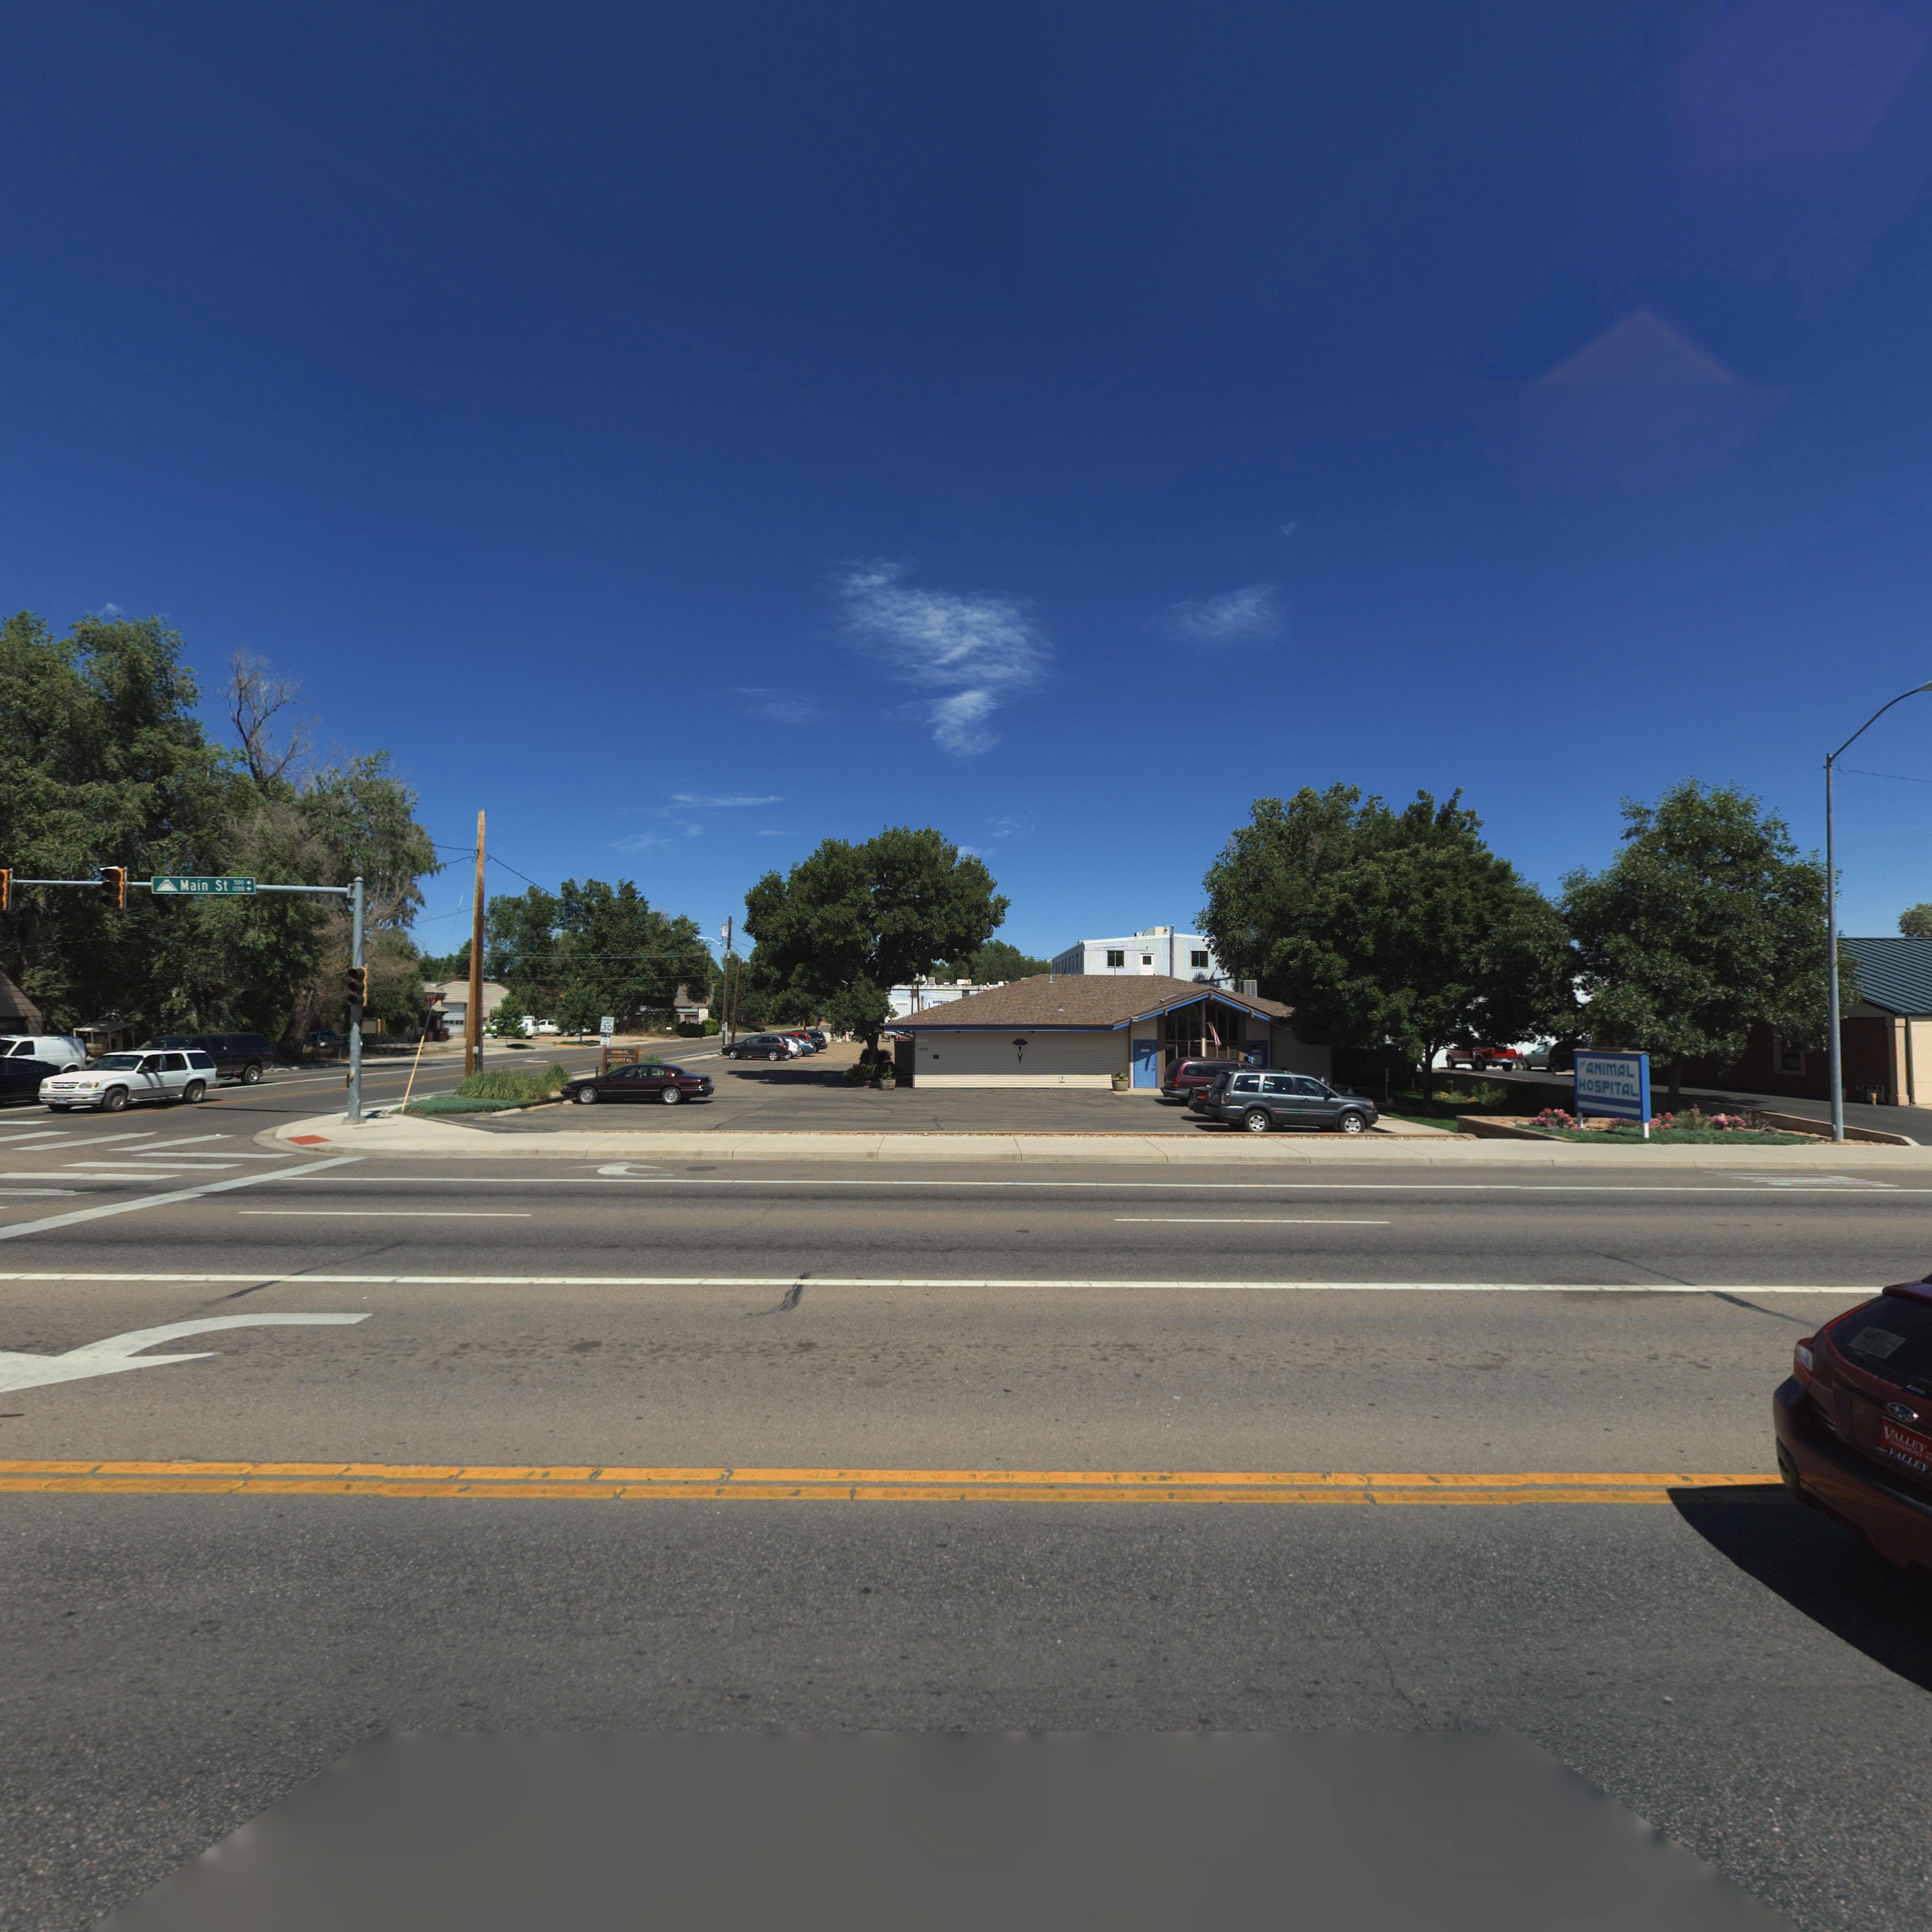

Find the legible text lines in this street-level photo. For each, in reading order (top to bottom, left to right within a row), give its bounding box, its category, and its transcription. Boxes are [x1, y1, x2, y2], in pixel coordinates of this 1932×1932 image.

[179, 879, 228, 891] StreetName: Main St
[233, 879, 245, 885] StreetNumberRange: 500
[232, 885, 252, 891] StreetNumberRange: 1200->
[917, 1047, 928, 1051] StreetNumber: 12**